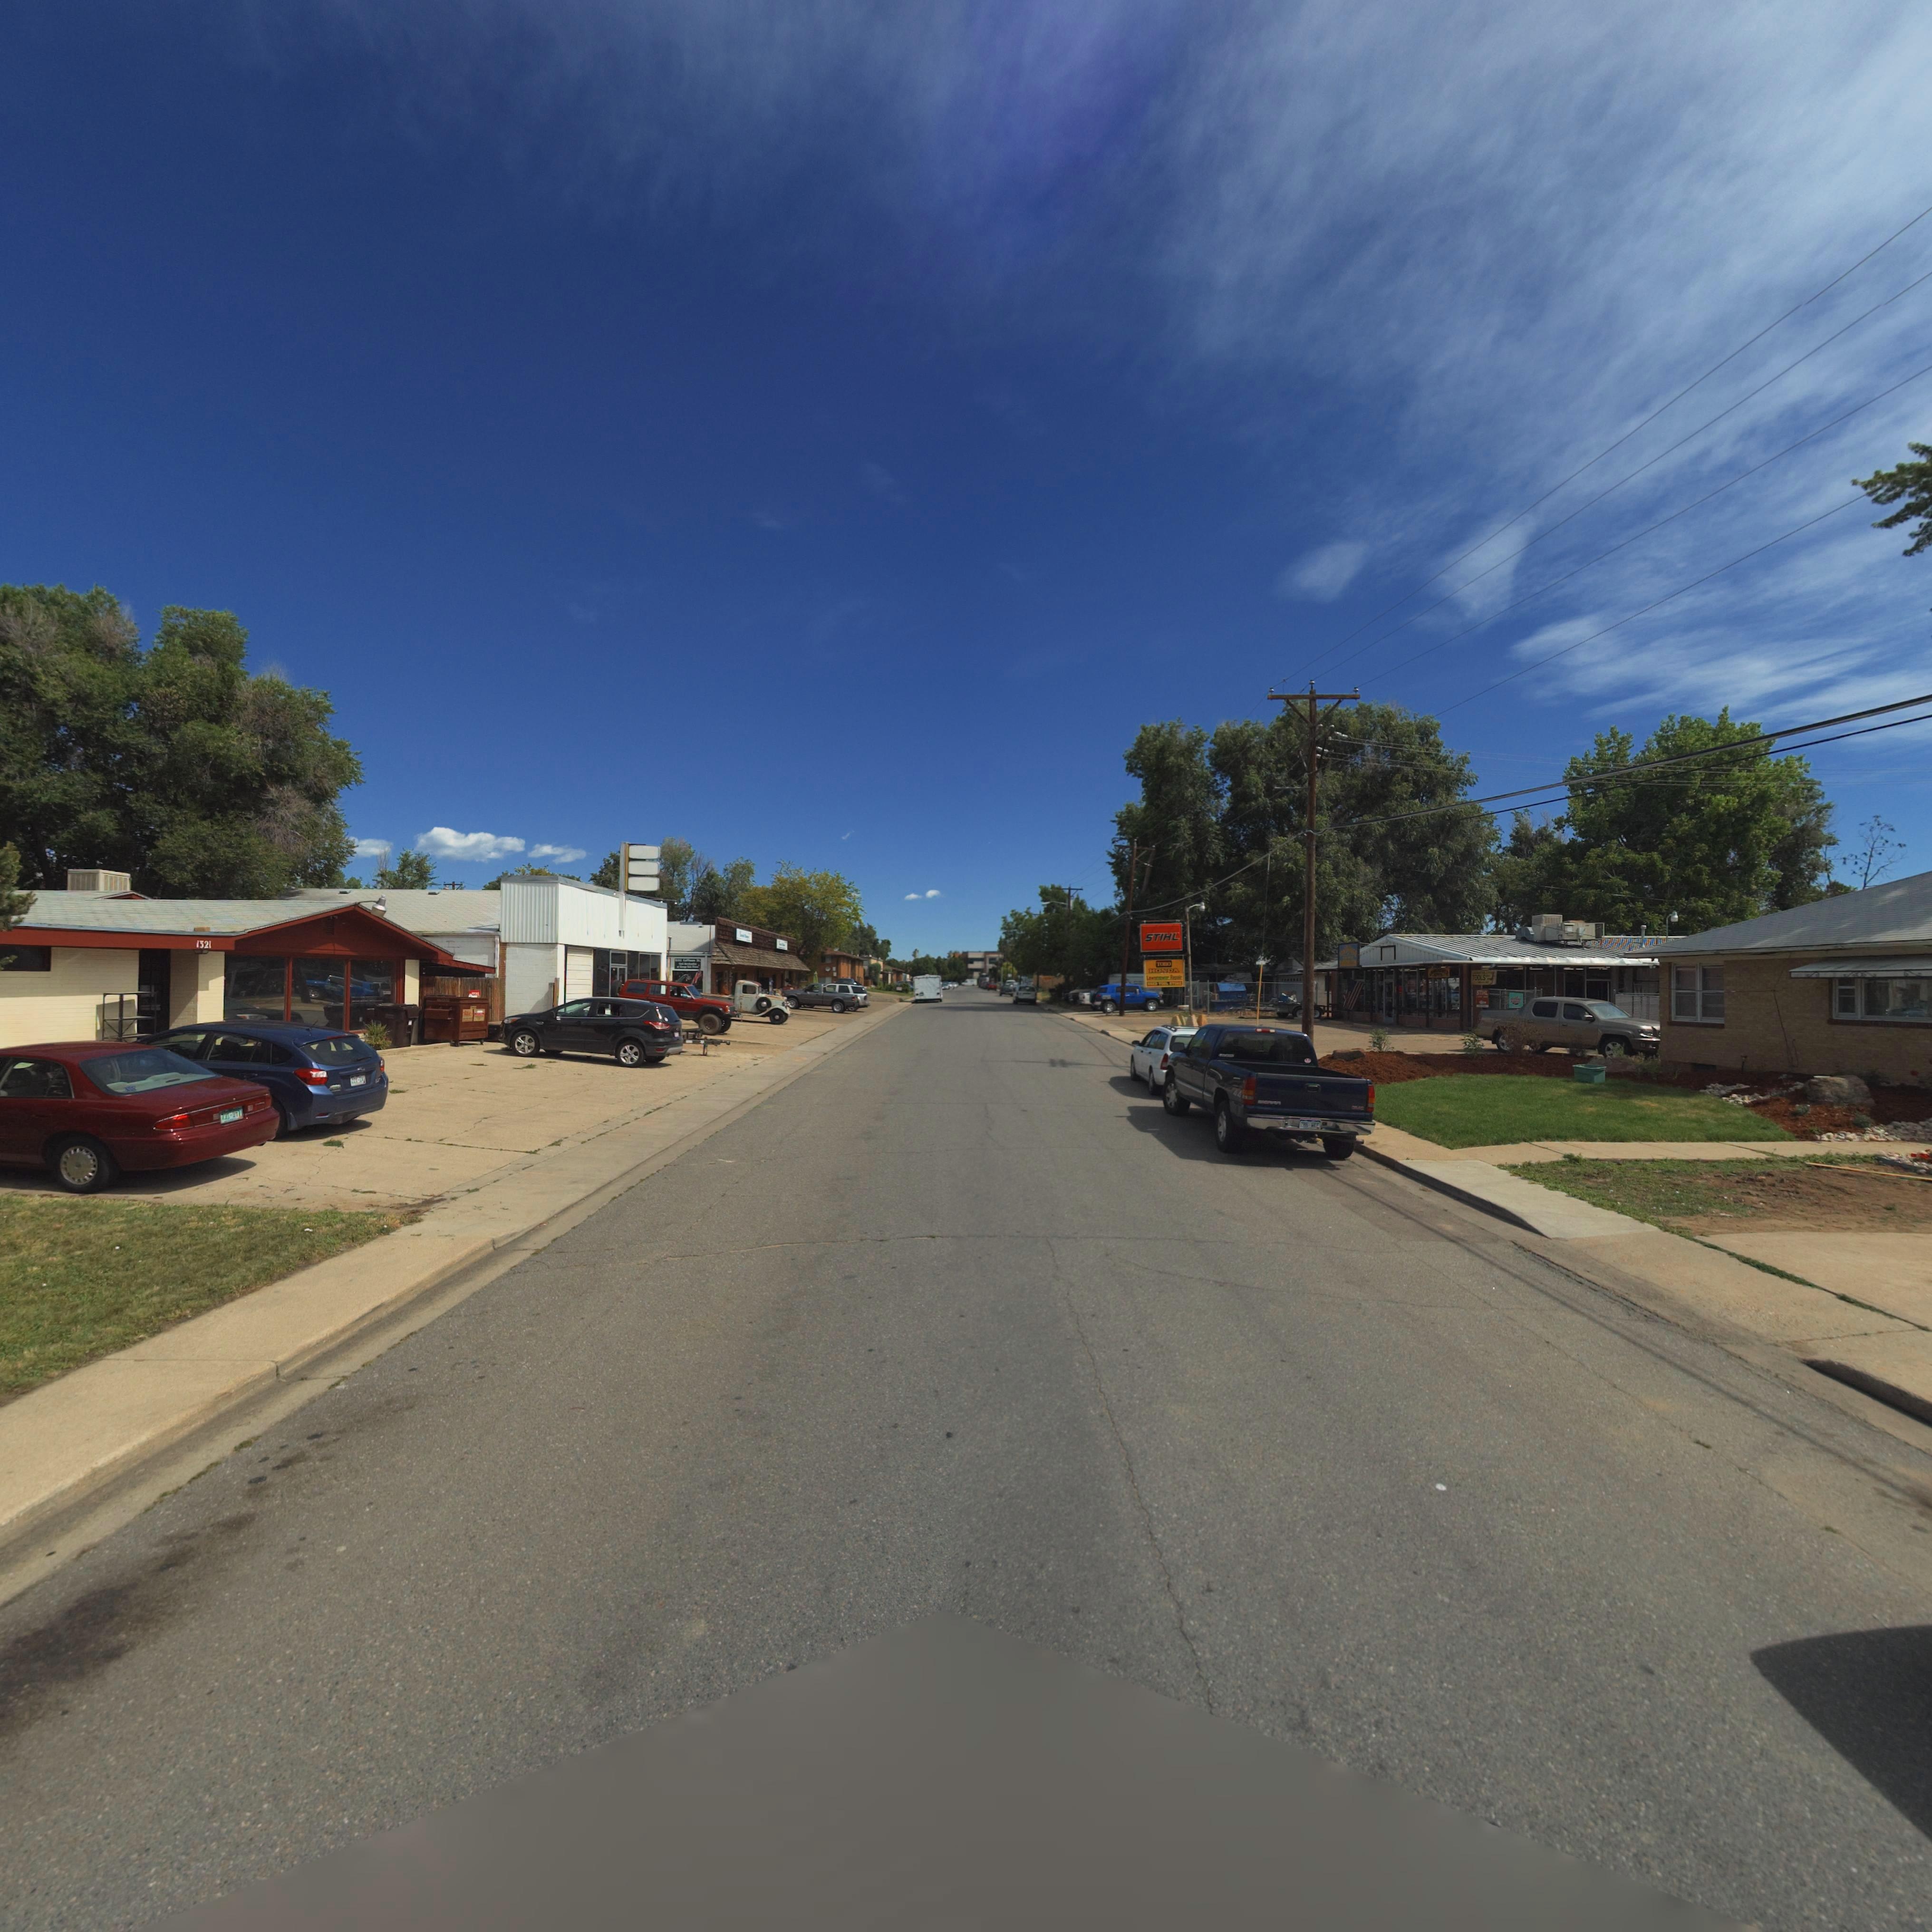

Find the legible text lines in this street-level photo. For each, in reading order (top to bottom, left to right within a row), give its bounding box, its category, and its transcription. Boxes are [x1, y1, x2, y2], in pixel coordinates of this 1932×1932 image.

[196, 940, 212, 948] StreetNumber: 1321
[675, 959, 681, 961] StreetNumber: 1***
[683, 958, 700, 962] StreetName: C****** **